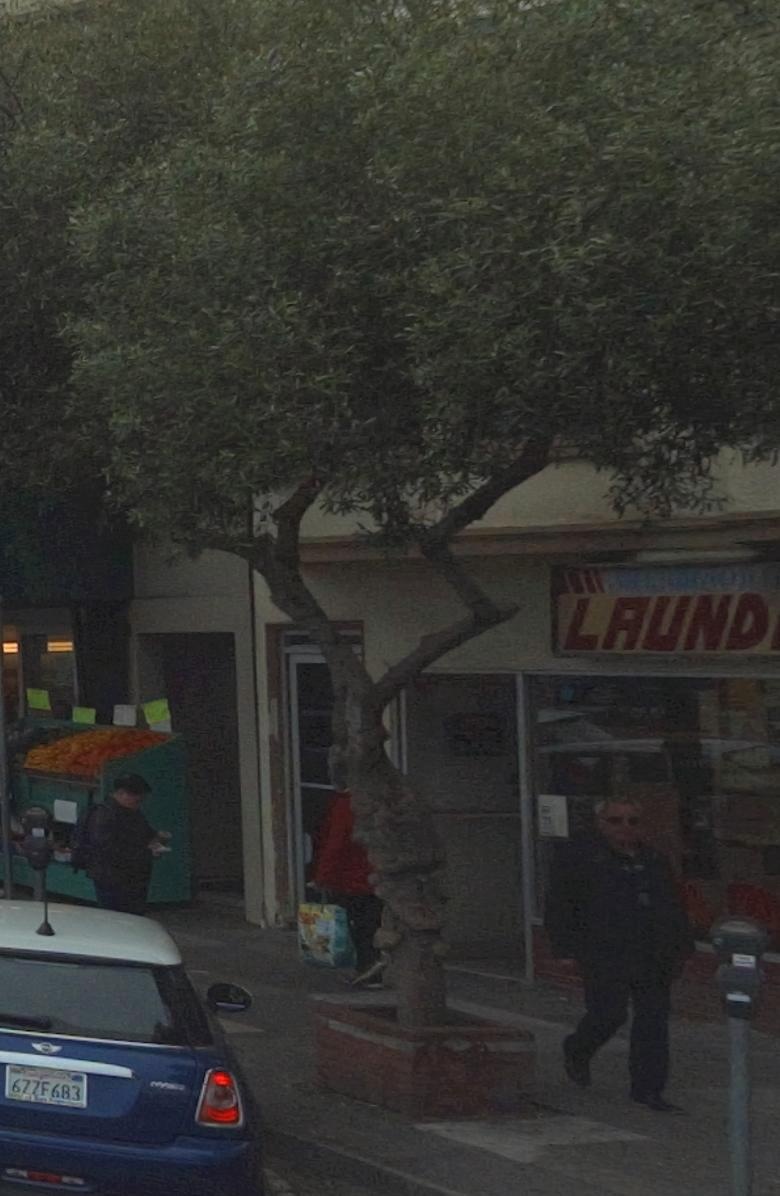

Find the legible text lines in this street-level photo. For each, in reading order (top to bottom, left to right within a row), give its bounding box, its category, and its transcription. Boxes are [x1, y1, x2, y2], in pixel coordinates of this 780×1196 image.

[558, 588, 773, 654] BusinessName: LAUND
[8, 1075, 83, 1104] None: 677F683